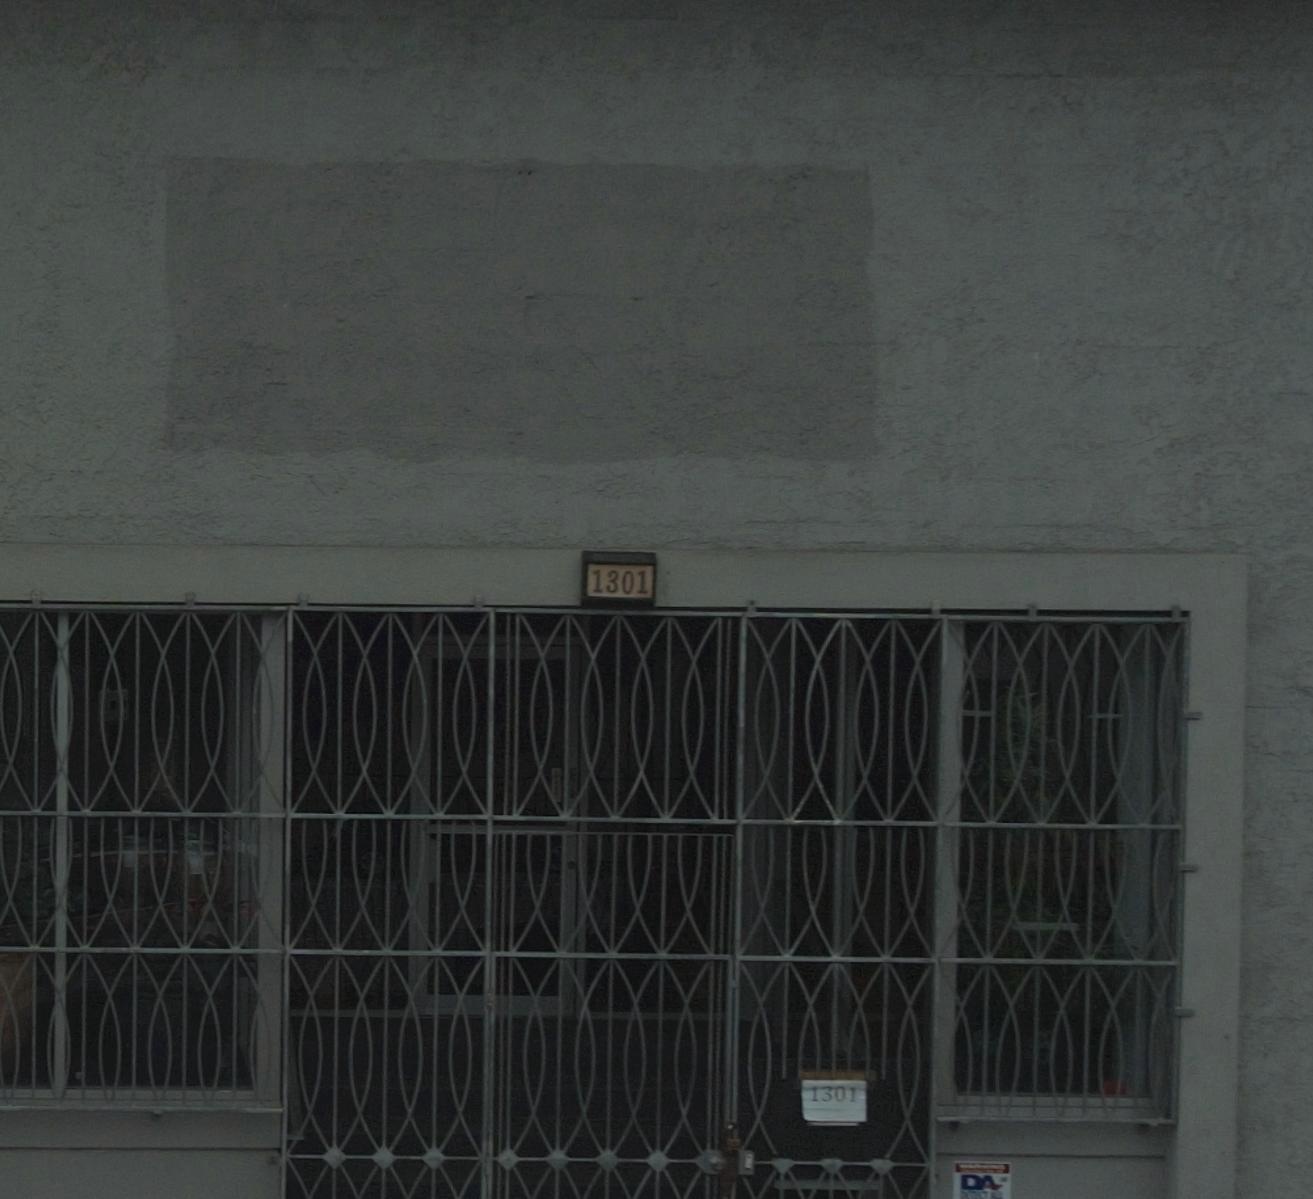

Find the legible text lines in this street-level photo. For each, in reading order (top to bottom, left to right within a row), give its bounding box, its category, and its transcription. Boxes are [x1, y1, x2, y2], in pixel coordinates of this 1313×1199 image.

[591, 569, 649, 594] StreetNumber: 1301
[809, 1085, 856, 1102] StreetNumber: 1301
[960, 1173, 998, 1191] None: DA